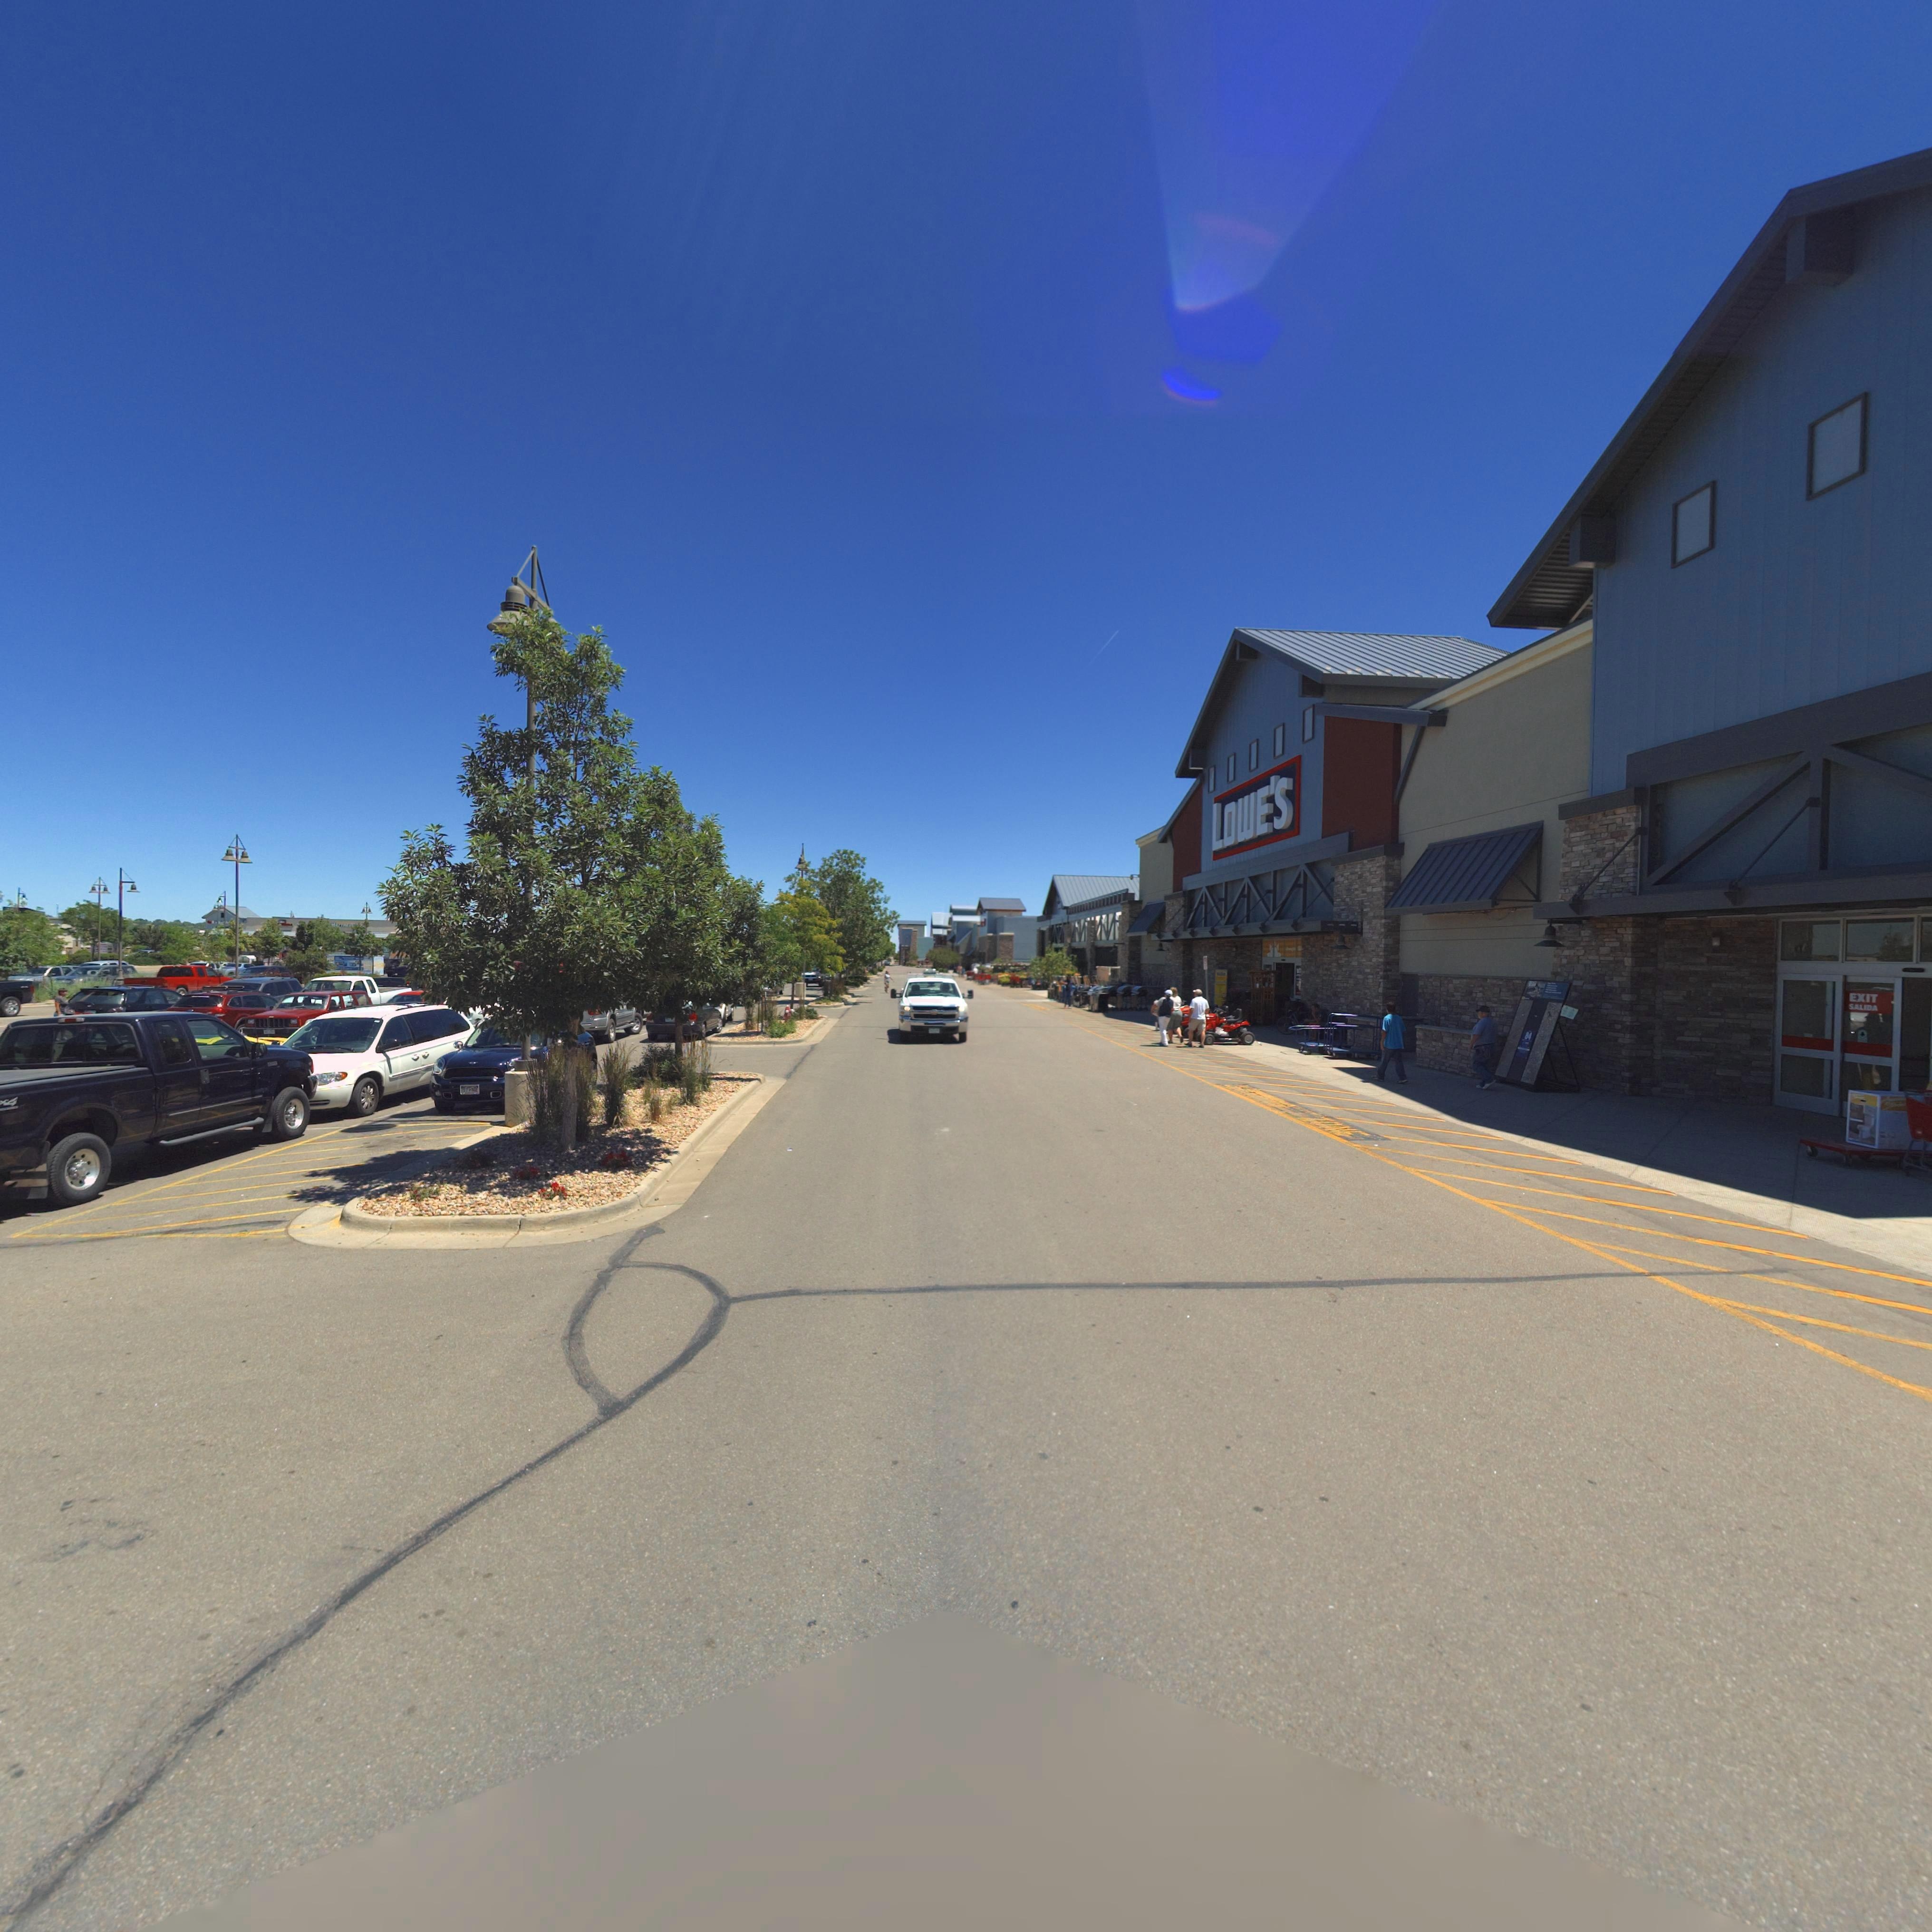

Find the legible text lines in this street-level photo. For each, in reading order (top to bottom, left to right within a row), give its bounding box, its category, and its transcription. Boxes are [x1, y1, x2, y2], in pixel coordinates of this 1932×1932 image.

[1211, 773, 1294, 852] BusinessName: LOWE'S